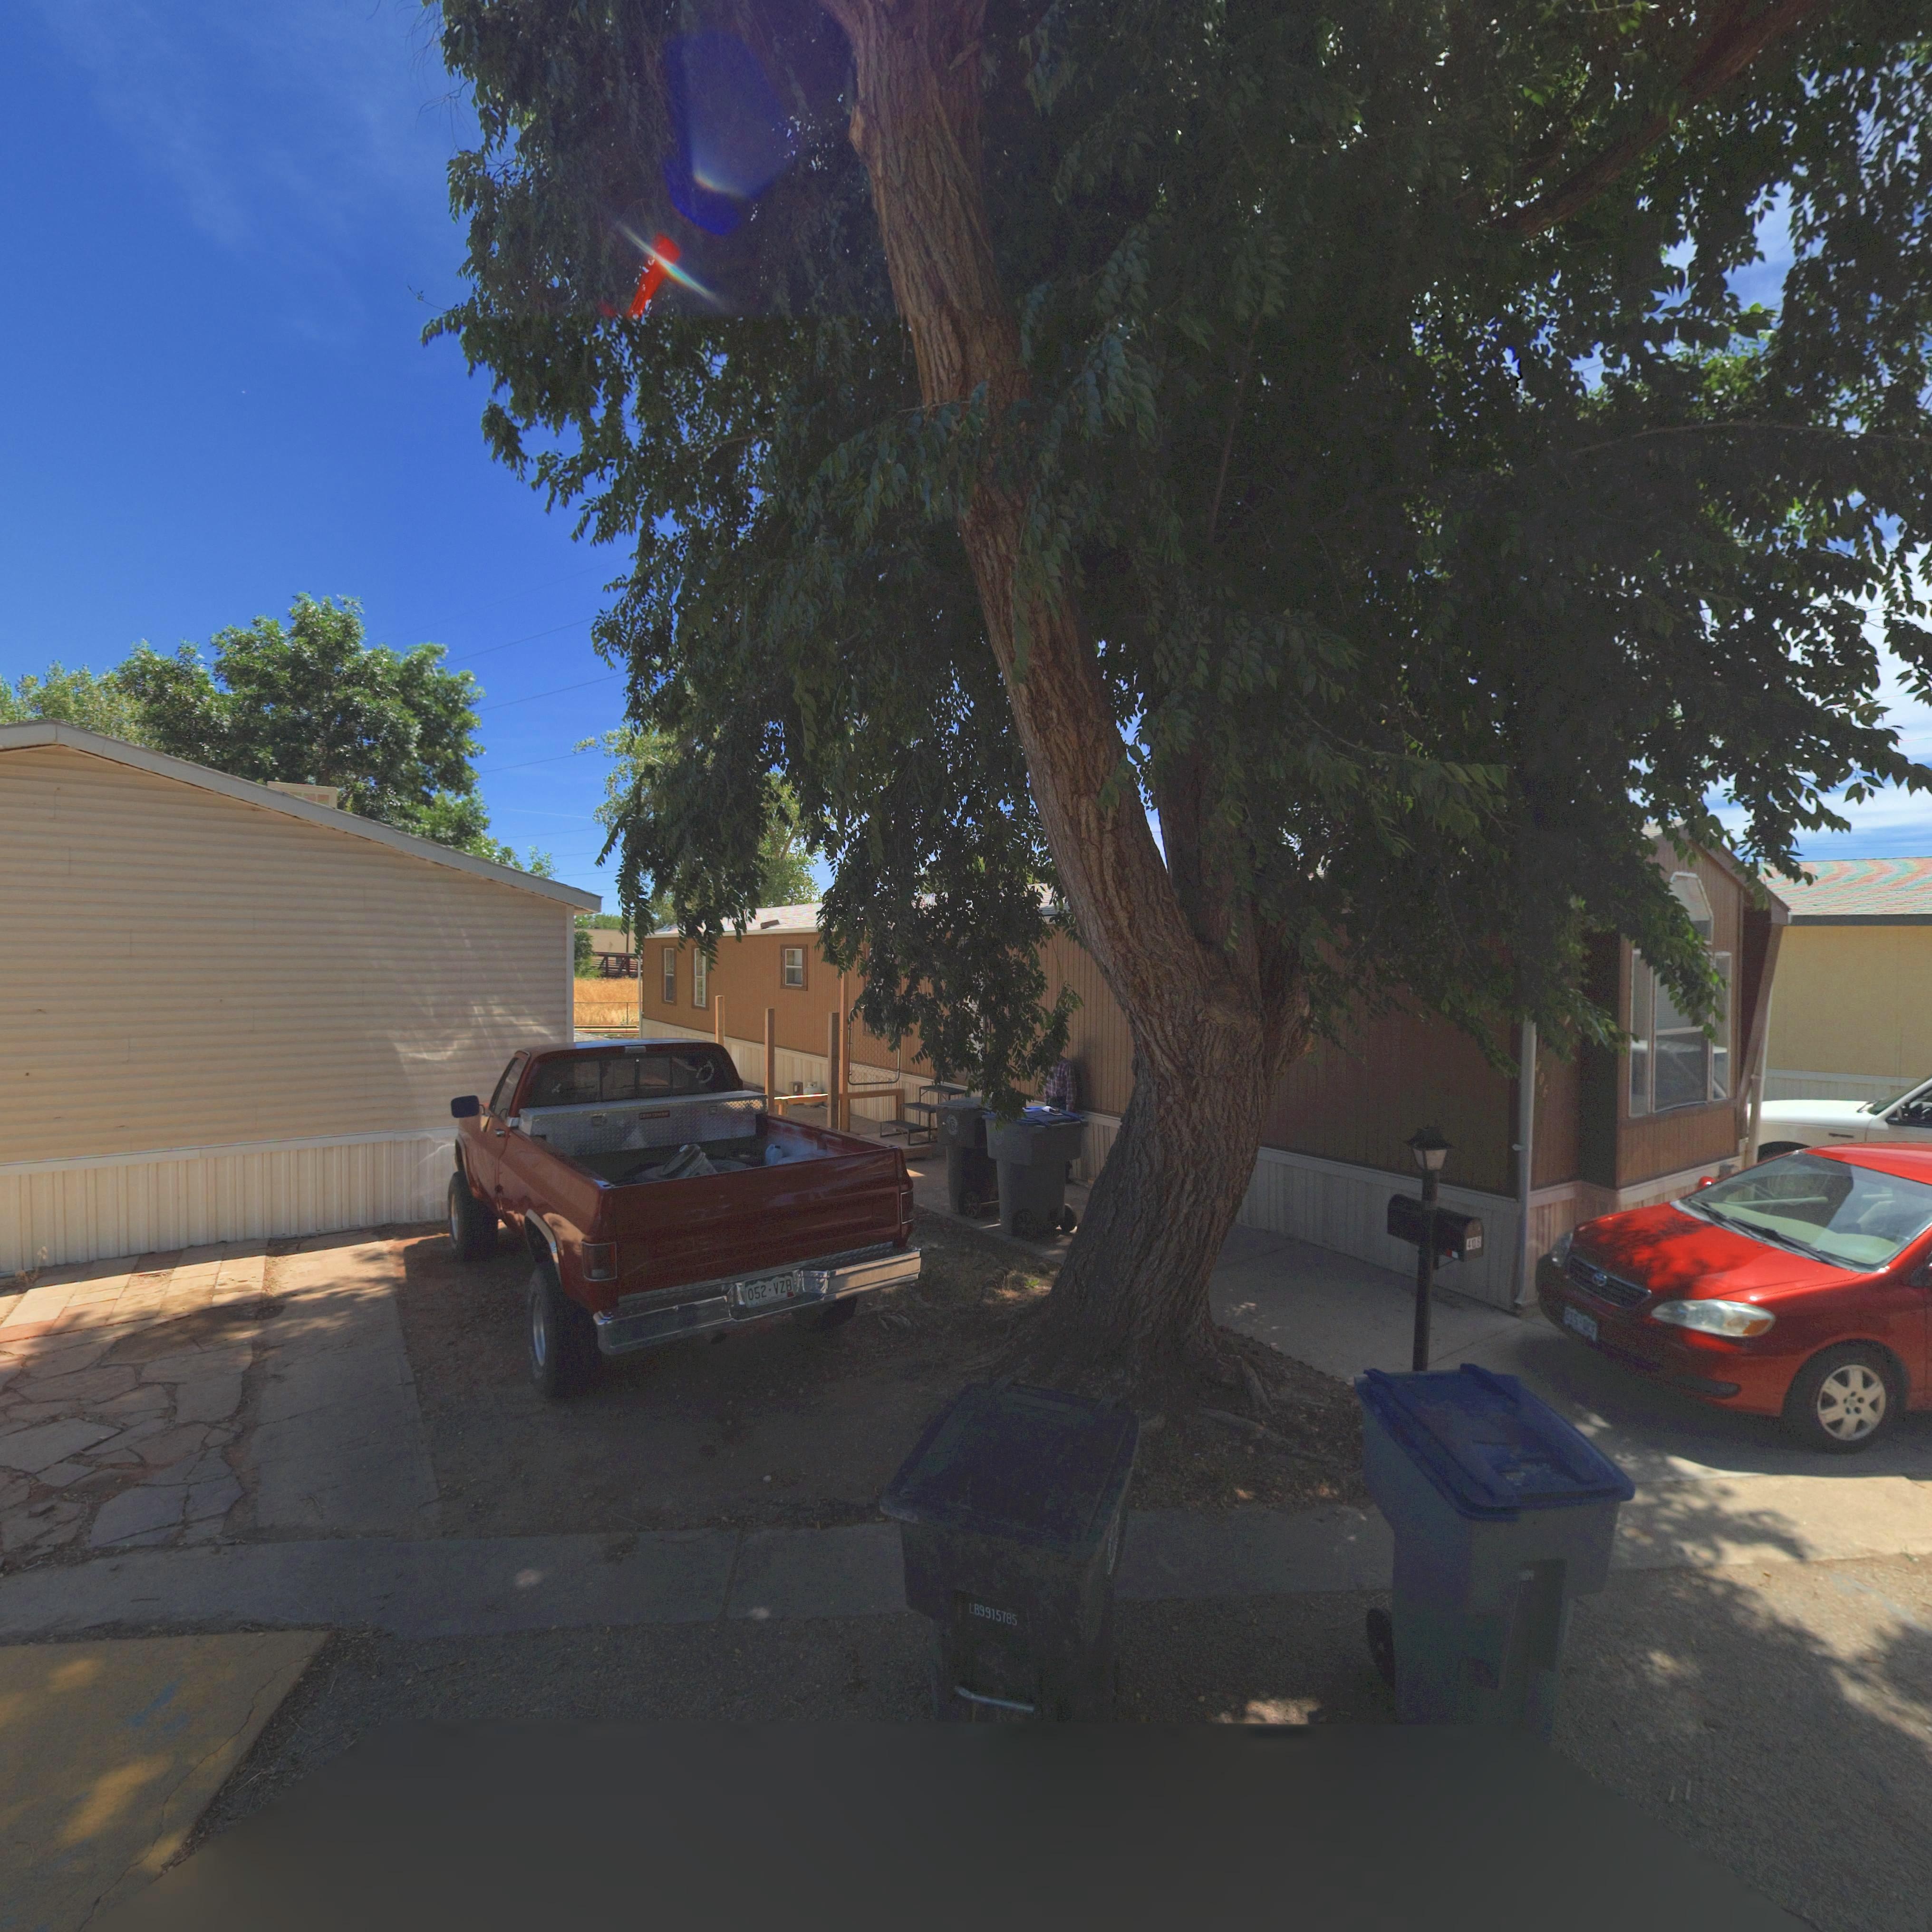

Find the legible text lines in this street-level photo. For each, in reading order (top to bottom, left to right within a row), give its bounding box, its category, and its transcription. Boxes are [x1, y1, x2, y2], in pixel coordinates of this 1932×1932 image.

[1466, 1236, 1480, 1249] StreetNumber: 408